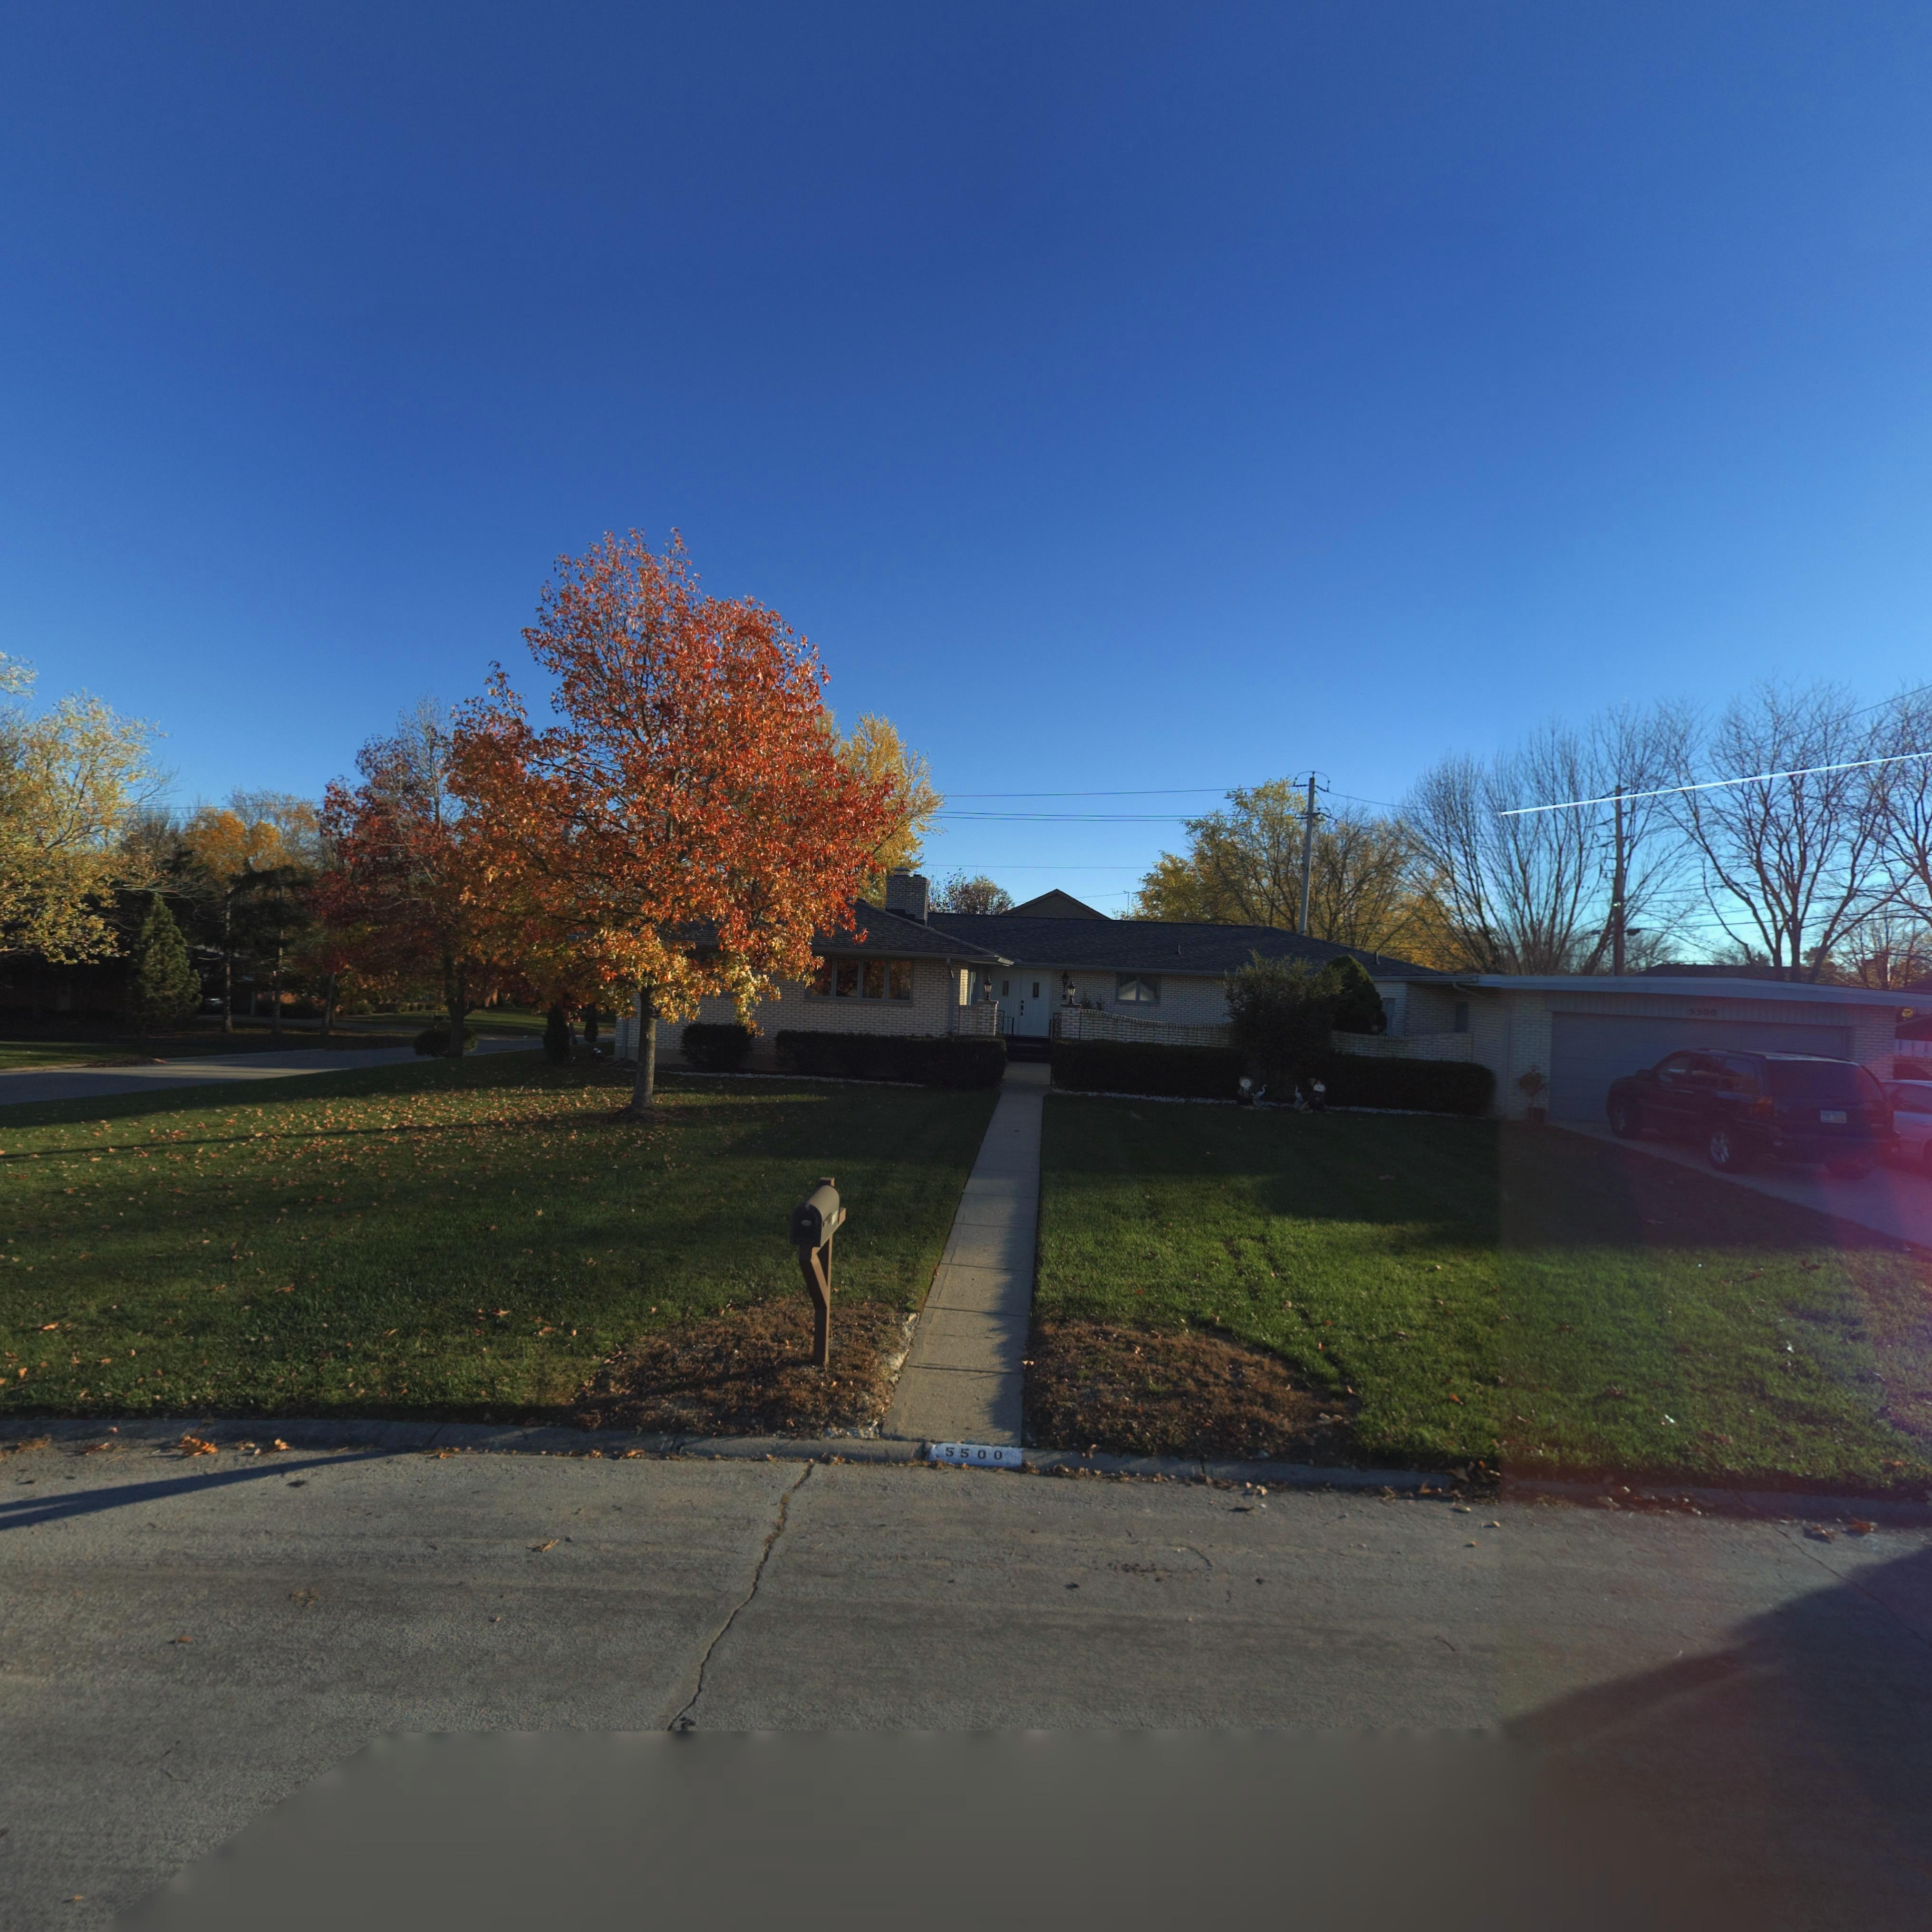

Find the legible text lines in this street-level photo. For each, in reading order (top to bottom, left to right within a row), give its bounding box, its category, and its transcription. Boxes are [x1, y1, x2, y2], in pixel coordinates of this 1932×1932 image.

[1688, 1006, 1718, 1018] StreetNumber: 5500
[944, 1445, 1004, 1462] StreetNumber: 5500